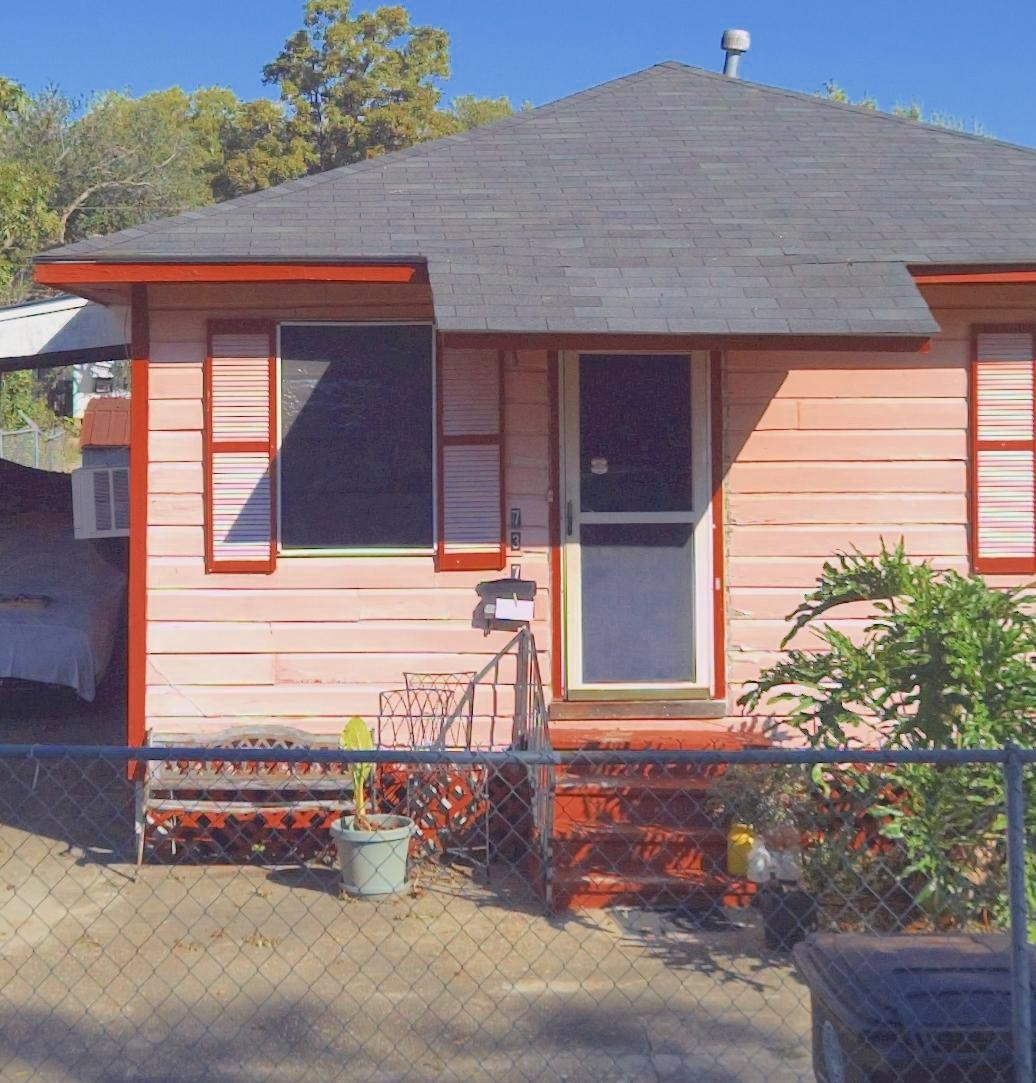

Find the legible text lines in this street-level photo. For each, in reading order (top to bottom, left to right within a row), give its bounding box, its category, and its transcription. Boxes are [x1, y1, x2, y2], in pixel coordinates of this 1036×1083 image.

[509, 508, 523, 586] StreetNumber: 737